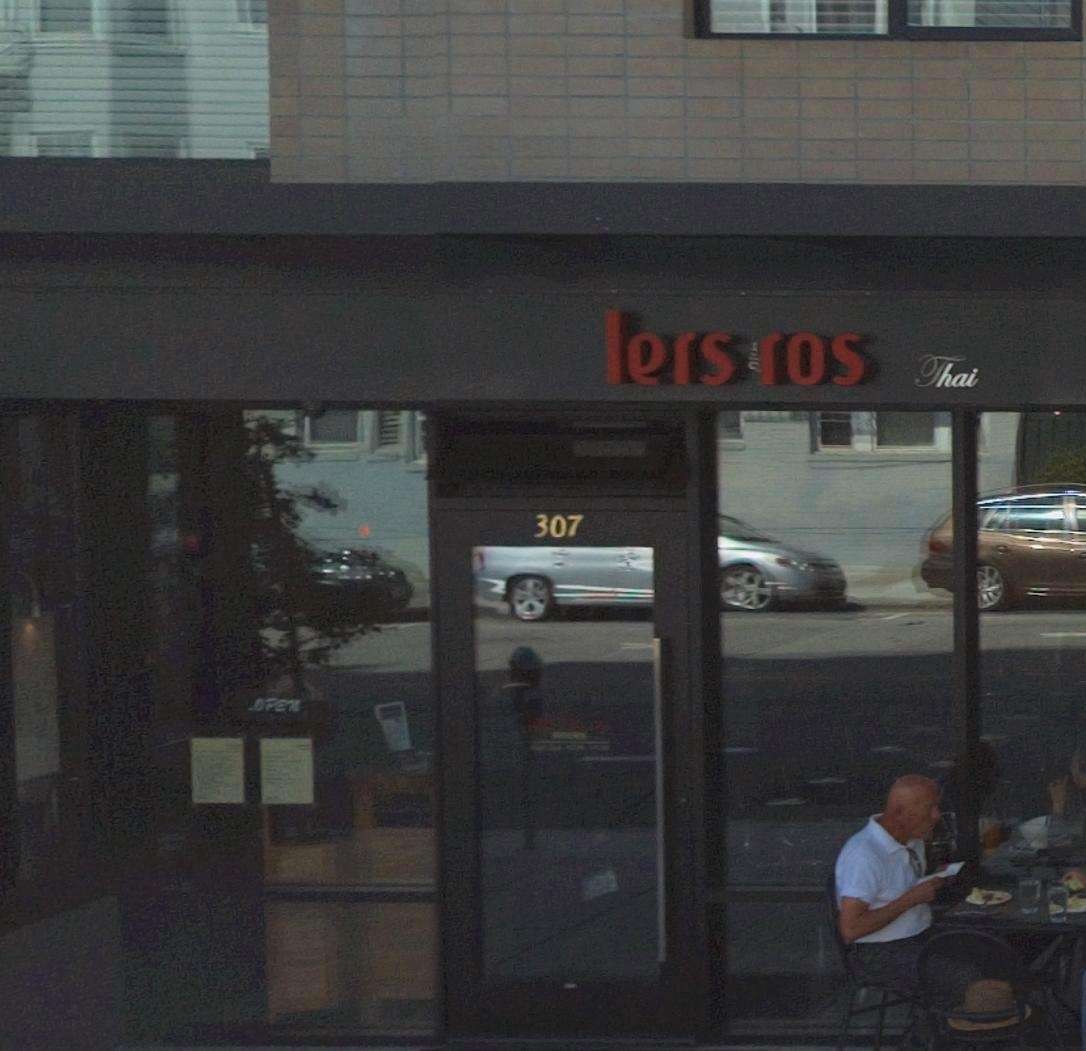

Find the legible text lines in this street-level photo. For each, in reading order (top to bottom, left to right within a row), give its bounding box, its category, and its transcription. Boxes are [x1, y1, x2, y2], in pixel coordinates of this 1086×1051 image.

[601, 303, 872, 388] BusinessName: lers ros
[910, 347, 989, 390] None: Thai
[531, 512, 587, 539] StreetNumber: 307
[250, 697, 303, 714] None: OPEN